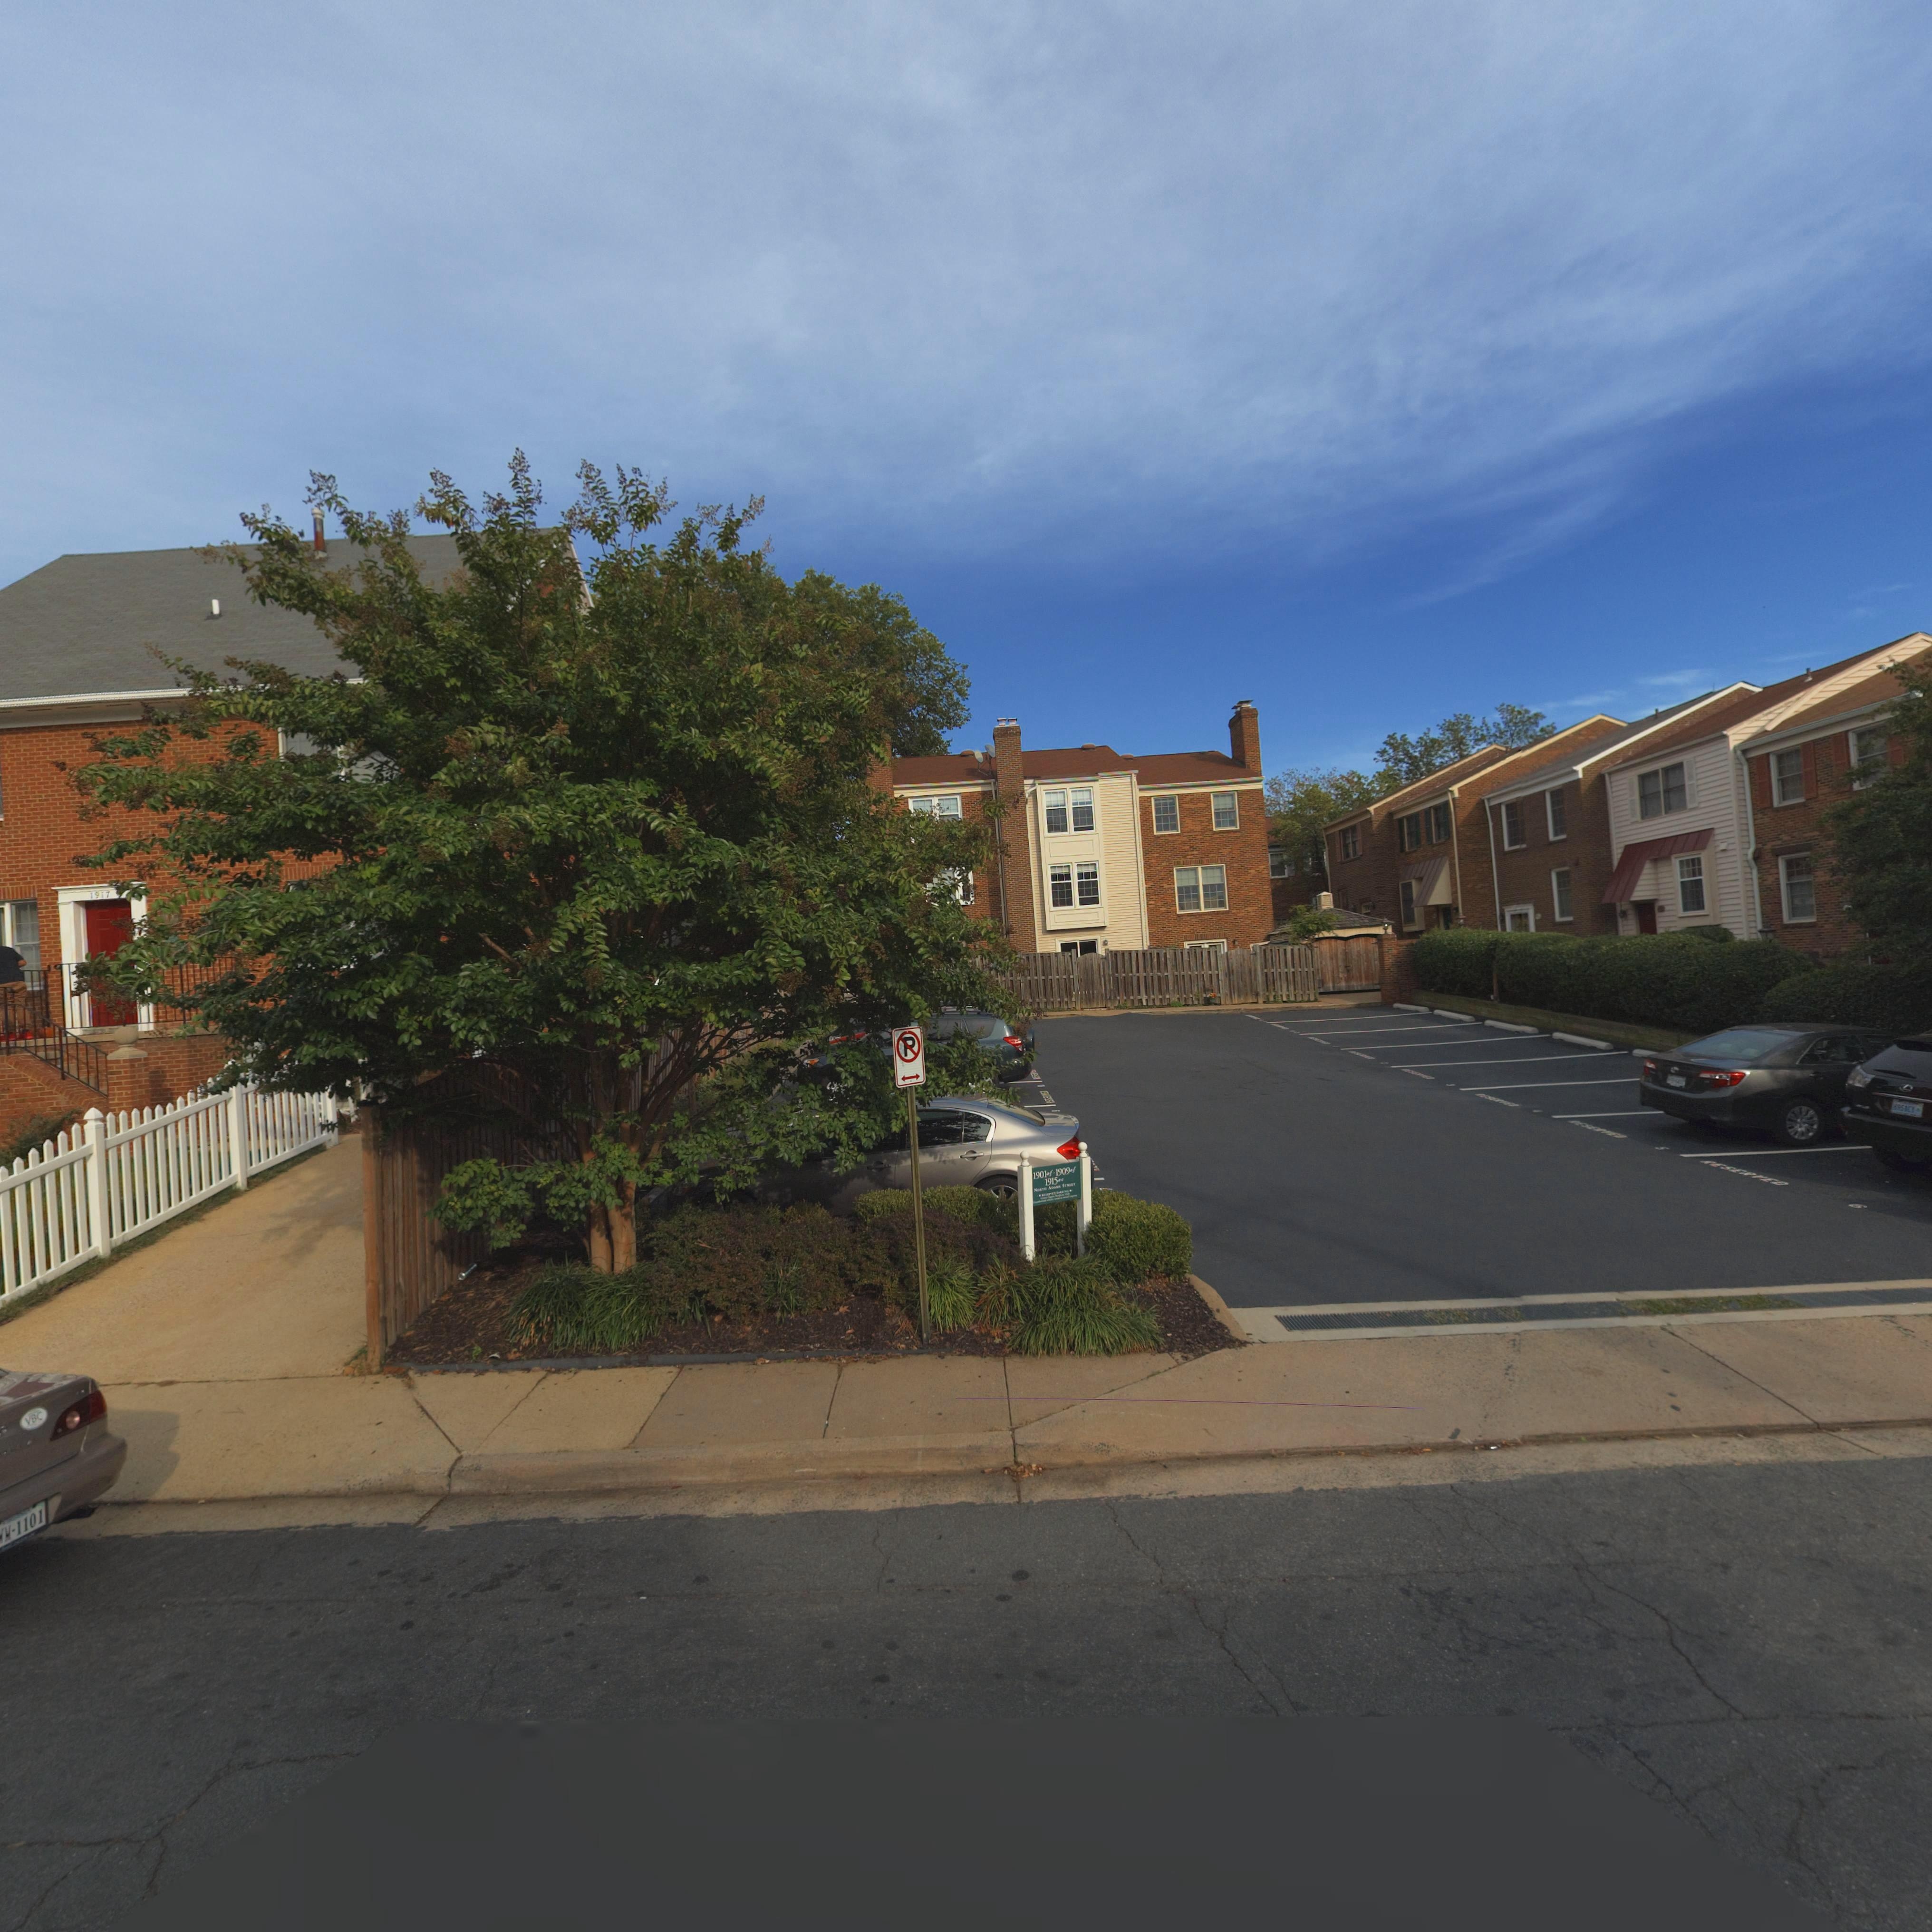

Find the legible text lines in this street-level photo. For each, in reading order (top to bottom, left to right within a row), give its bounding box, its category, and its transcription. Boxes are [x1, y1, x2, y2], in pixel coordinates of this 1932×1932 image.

[1033, 1166, 1078, 1180] None: 1901*-1909*
[1044, 1175, 1065, 1187] None: 1915*
[1034, 1182, 1076, 1193] None: NORTH ADAMS
[23, 1410, 43, 1426] None: VBC
[3, 1507, 44, 1545] None: M-1101